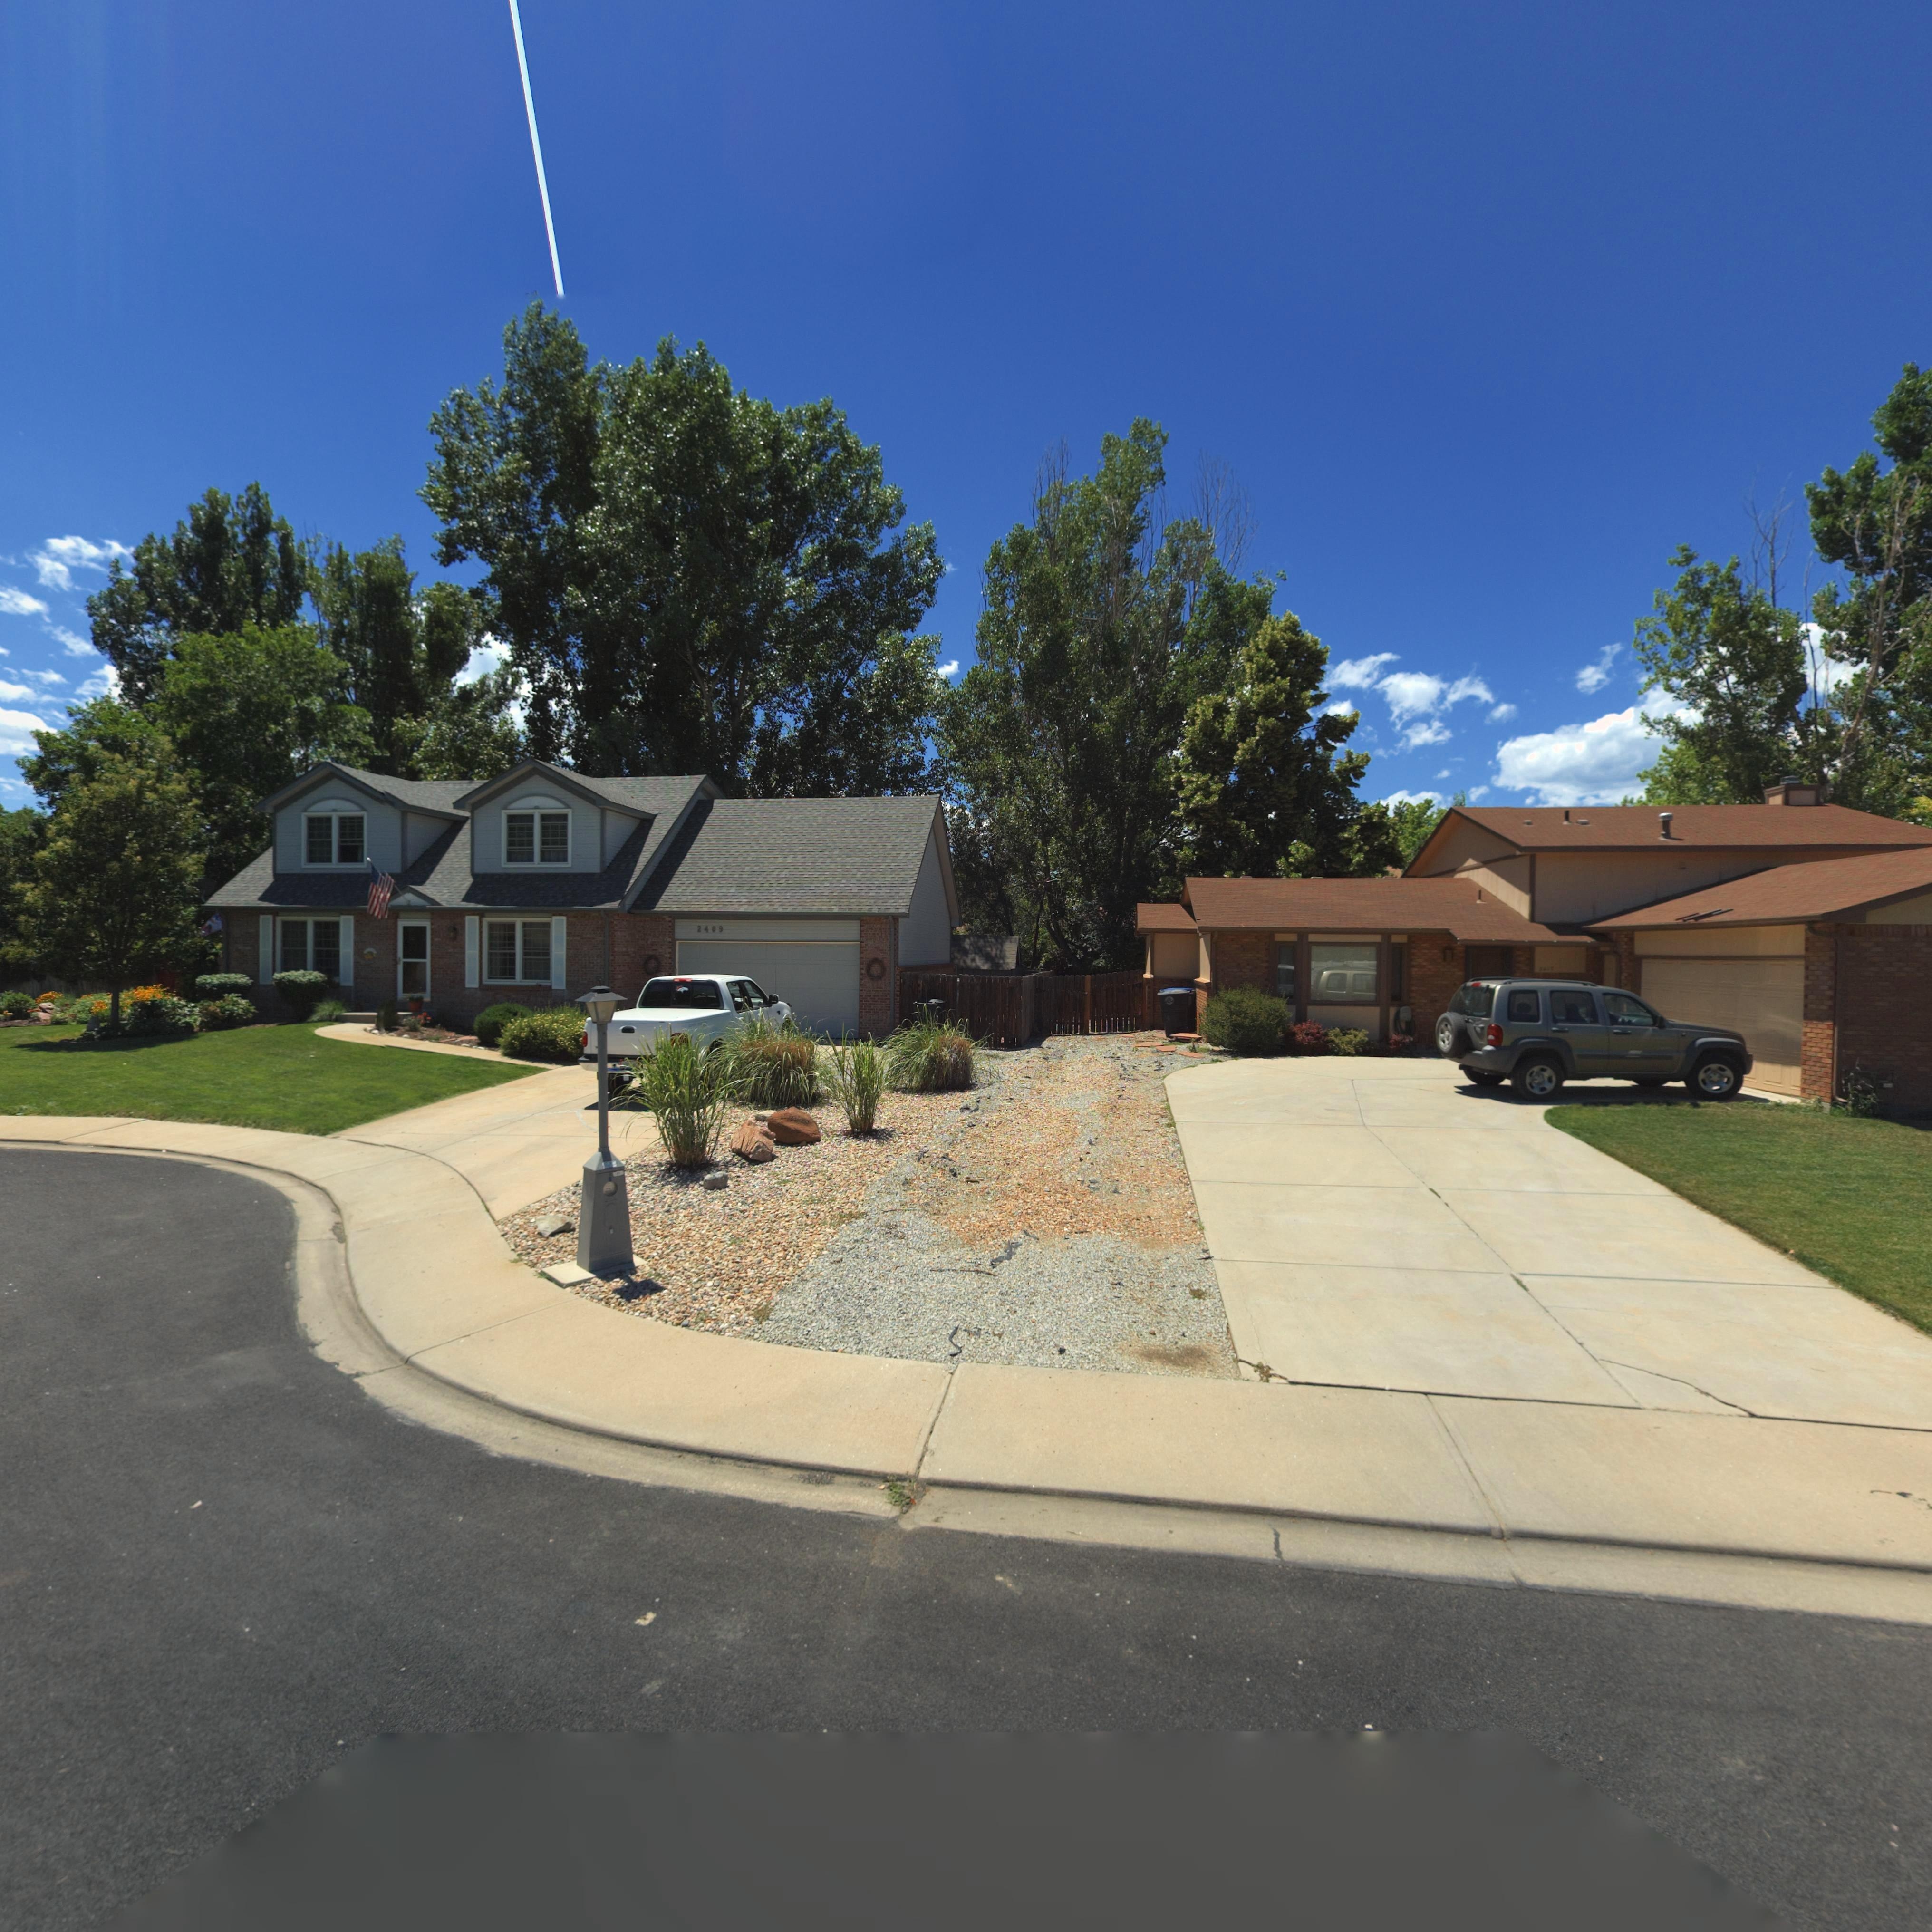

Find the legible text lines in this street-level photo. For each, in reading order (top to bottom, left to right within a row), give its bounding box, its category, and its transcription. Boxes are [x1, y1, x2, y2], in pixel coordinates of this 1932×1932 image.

[697, 925, 723, 932] StreetNumber: 2409